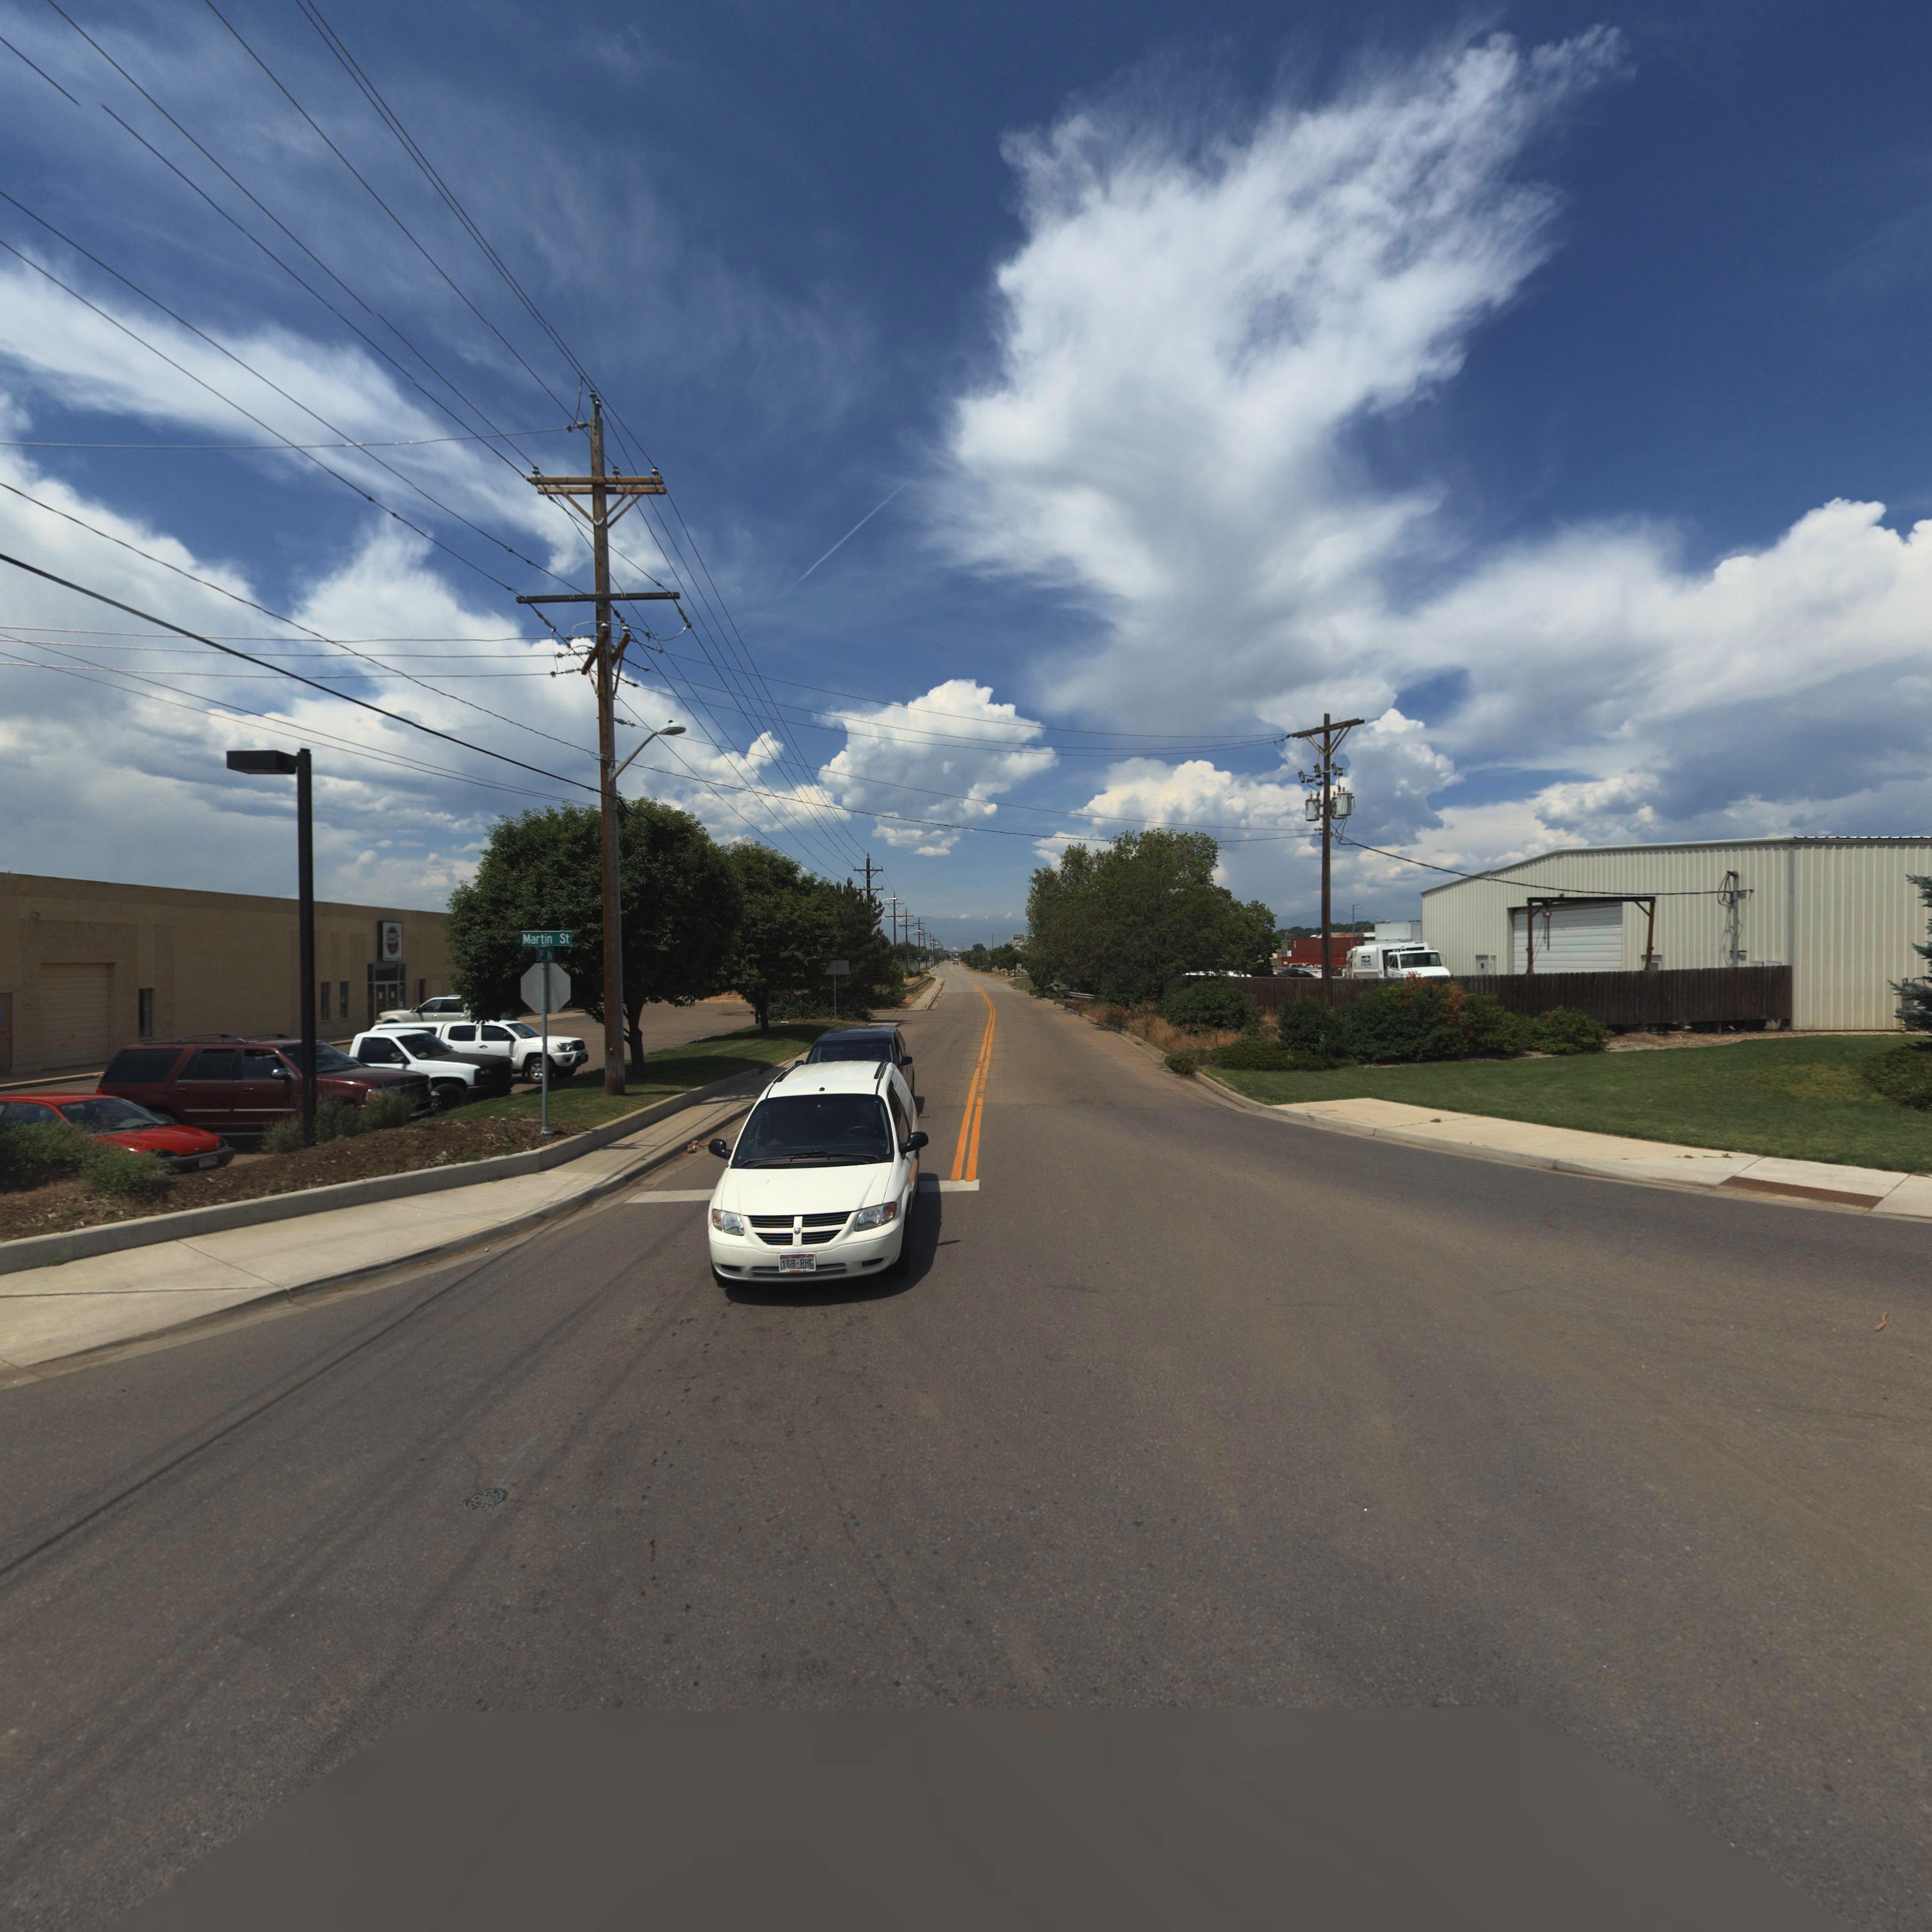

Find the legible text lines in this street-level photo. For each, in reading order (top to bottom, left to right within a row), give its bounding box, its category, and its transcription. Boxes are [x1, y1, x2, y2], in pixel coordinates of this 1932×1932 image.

[386, 932, 398, 938] BusinessName: DBC
[522, 933, 570, 944] StreetName: Martin St
[538, 949, 553, 960] StreetName: 1st Av